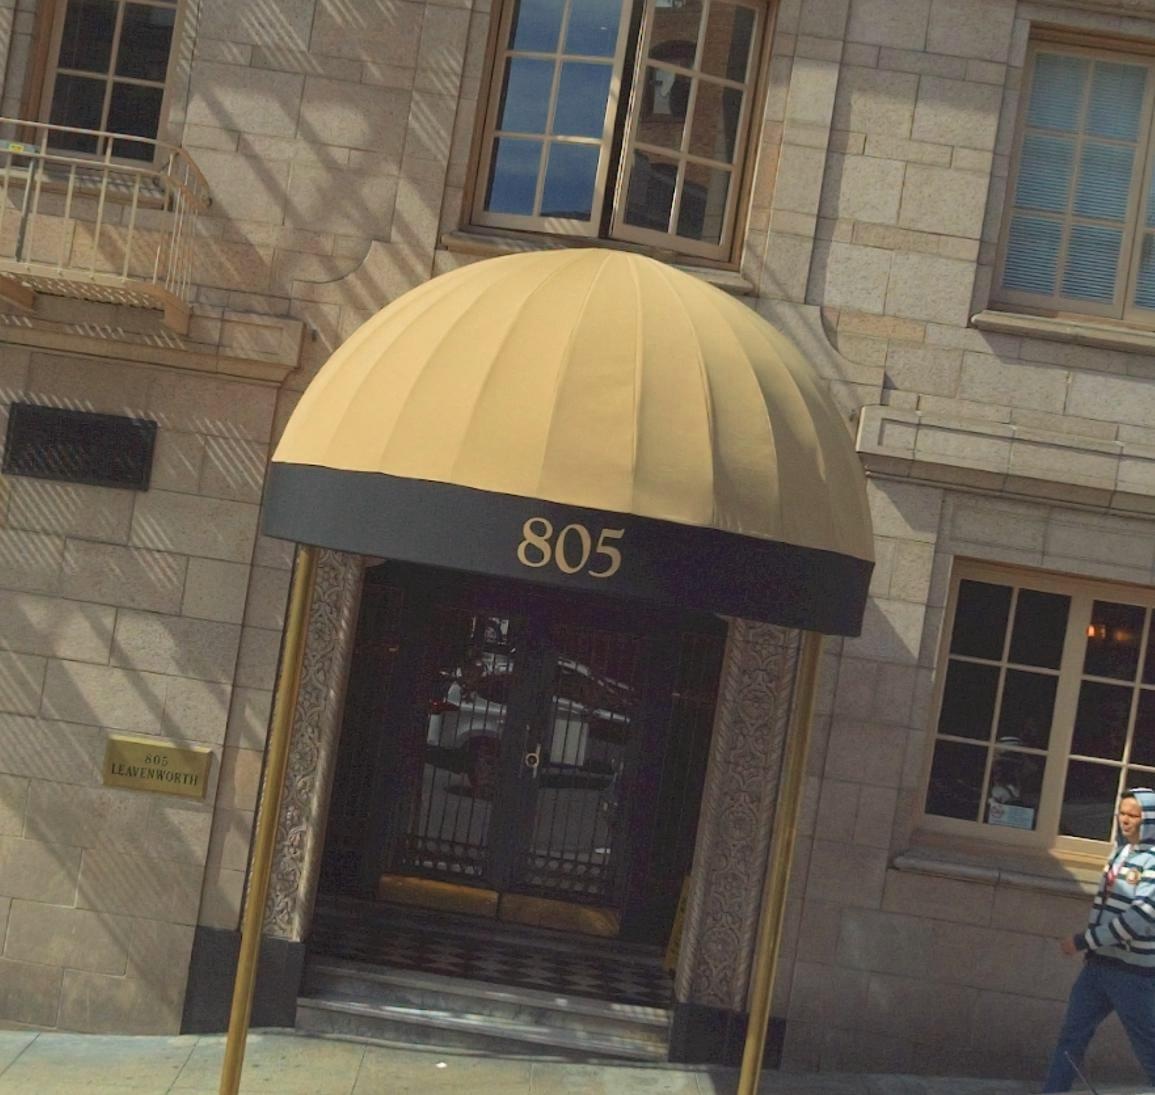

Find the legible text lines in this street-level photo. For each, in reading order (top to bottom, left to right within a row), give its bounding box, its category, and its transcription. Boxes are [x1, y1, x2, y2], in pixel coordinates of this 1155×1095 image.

[512, 512, 637, 587] StreetNumber: 805
[107, 757, 203, 790] BusinessName: LEAVENWORTH
[141, 751, 172, 771] BusinessName: 805